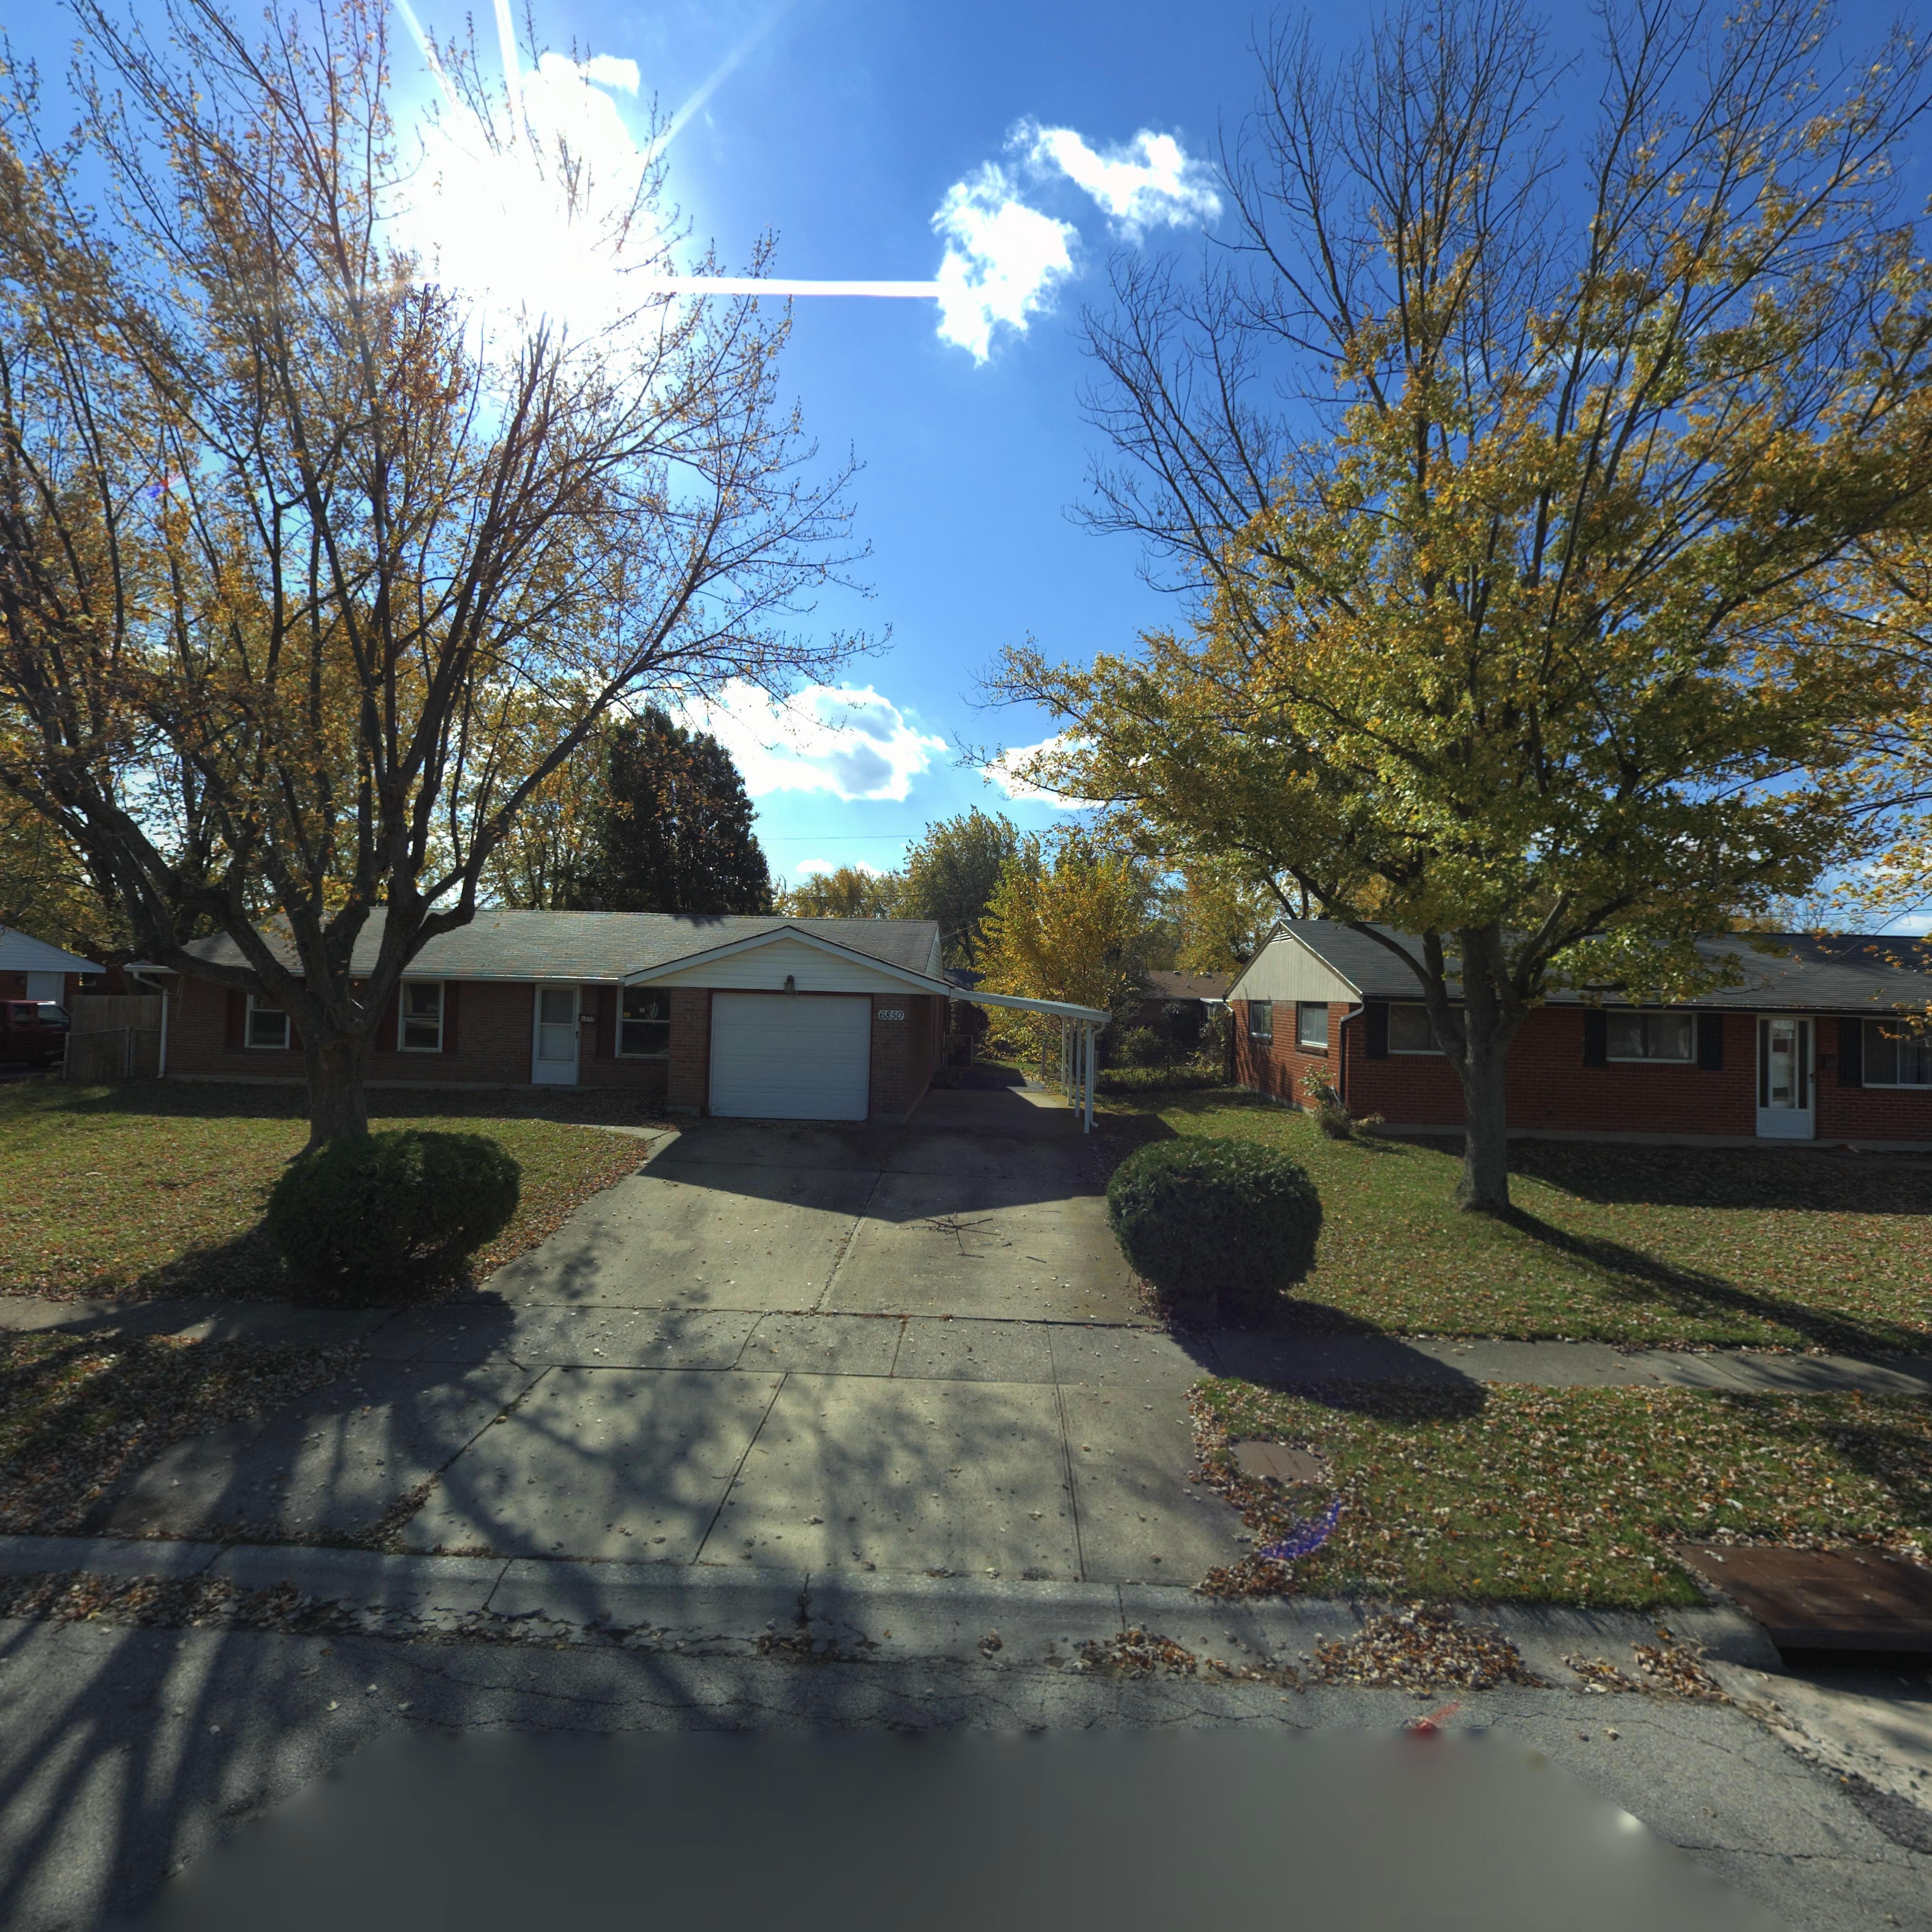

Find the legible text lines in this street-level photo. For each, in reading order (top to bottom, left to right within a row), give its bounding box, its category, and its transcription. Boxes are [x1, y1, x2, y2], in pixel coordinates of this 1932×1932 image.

[580, 1016, 596, 1023] StreetNumber: *8*0
[878, 1010, 904, 1021] StreetNumber: 6850